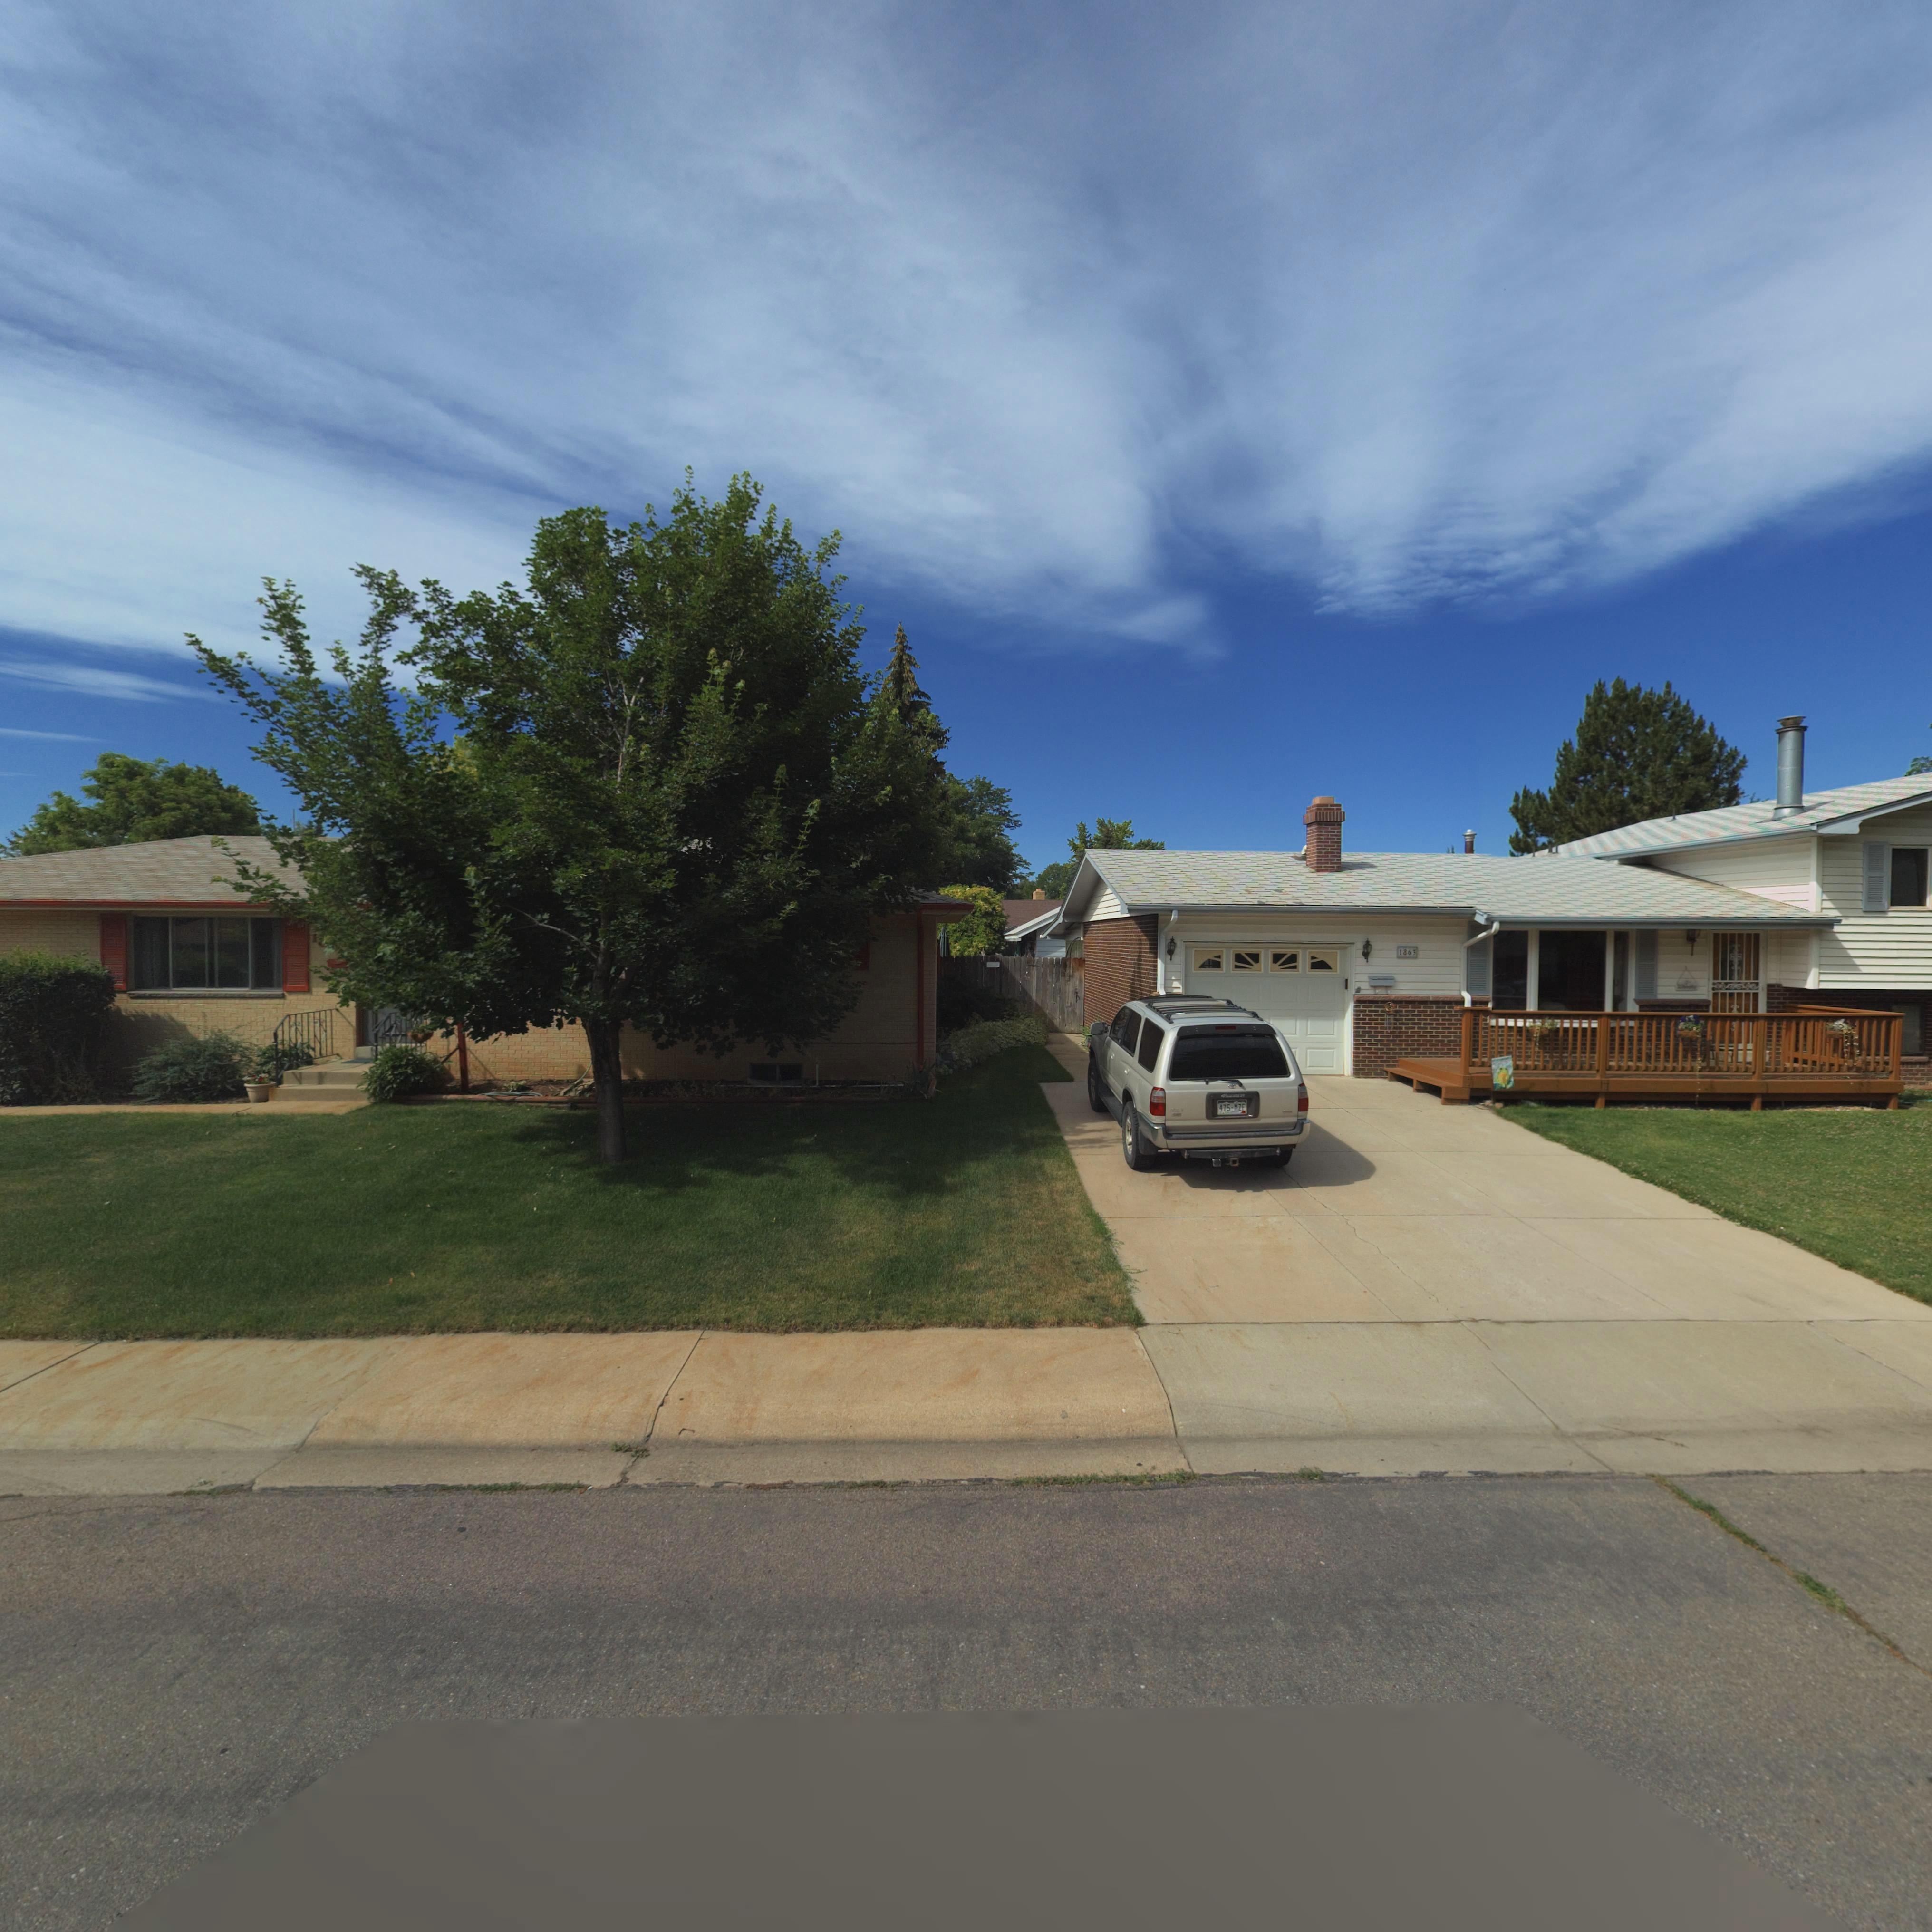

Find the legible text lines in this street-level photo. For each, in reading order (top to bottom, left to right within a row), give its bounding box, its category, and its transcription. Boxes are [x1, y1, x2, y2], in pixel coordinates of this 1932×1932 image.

[1399, 948, 1416, 956] StreetNumber: 1863